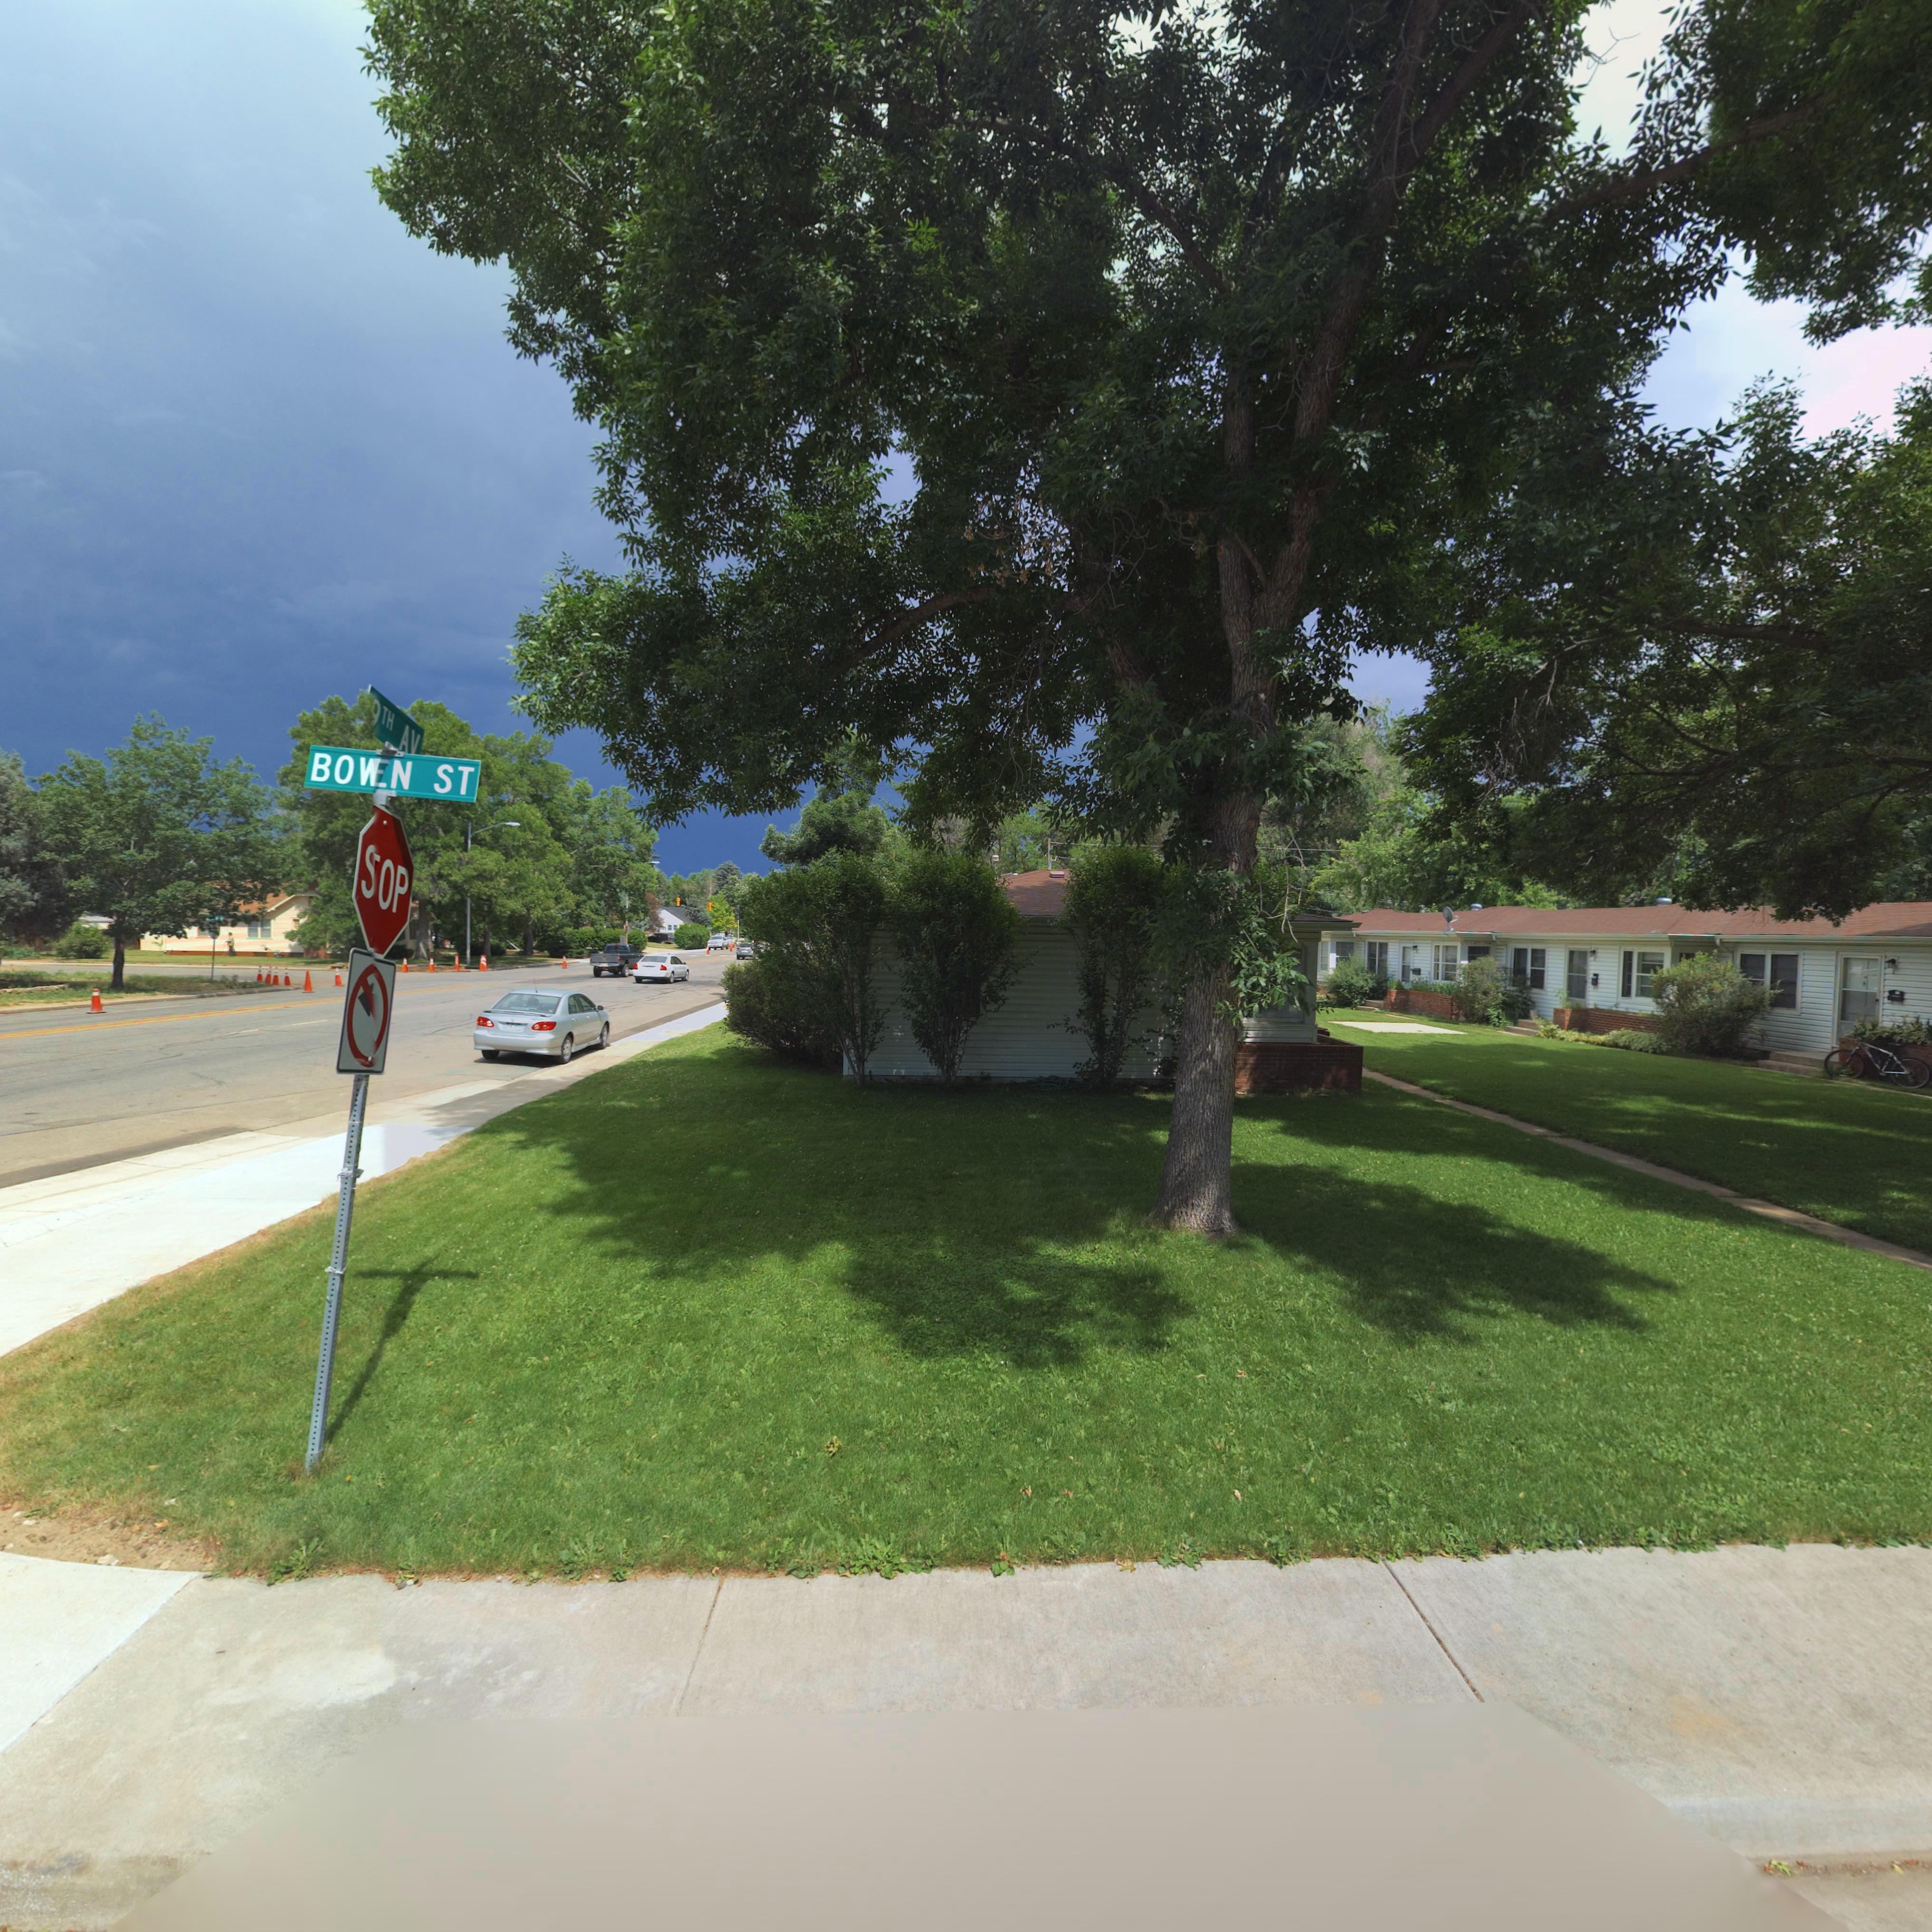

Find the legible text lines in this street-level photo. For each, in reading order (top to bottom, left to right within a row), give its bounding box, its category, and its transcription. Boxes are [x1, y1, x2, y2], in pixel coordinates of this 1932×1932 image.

[371, 696, 422, 757] StreetName: *TH AV
[309, 751, 475, 796] StreetName: BO*EN ST